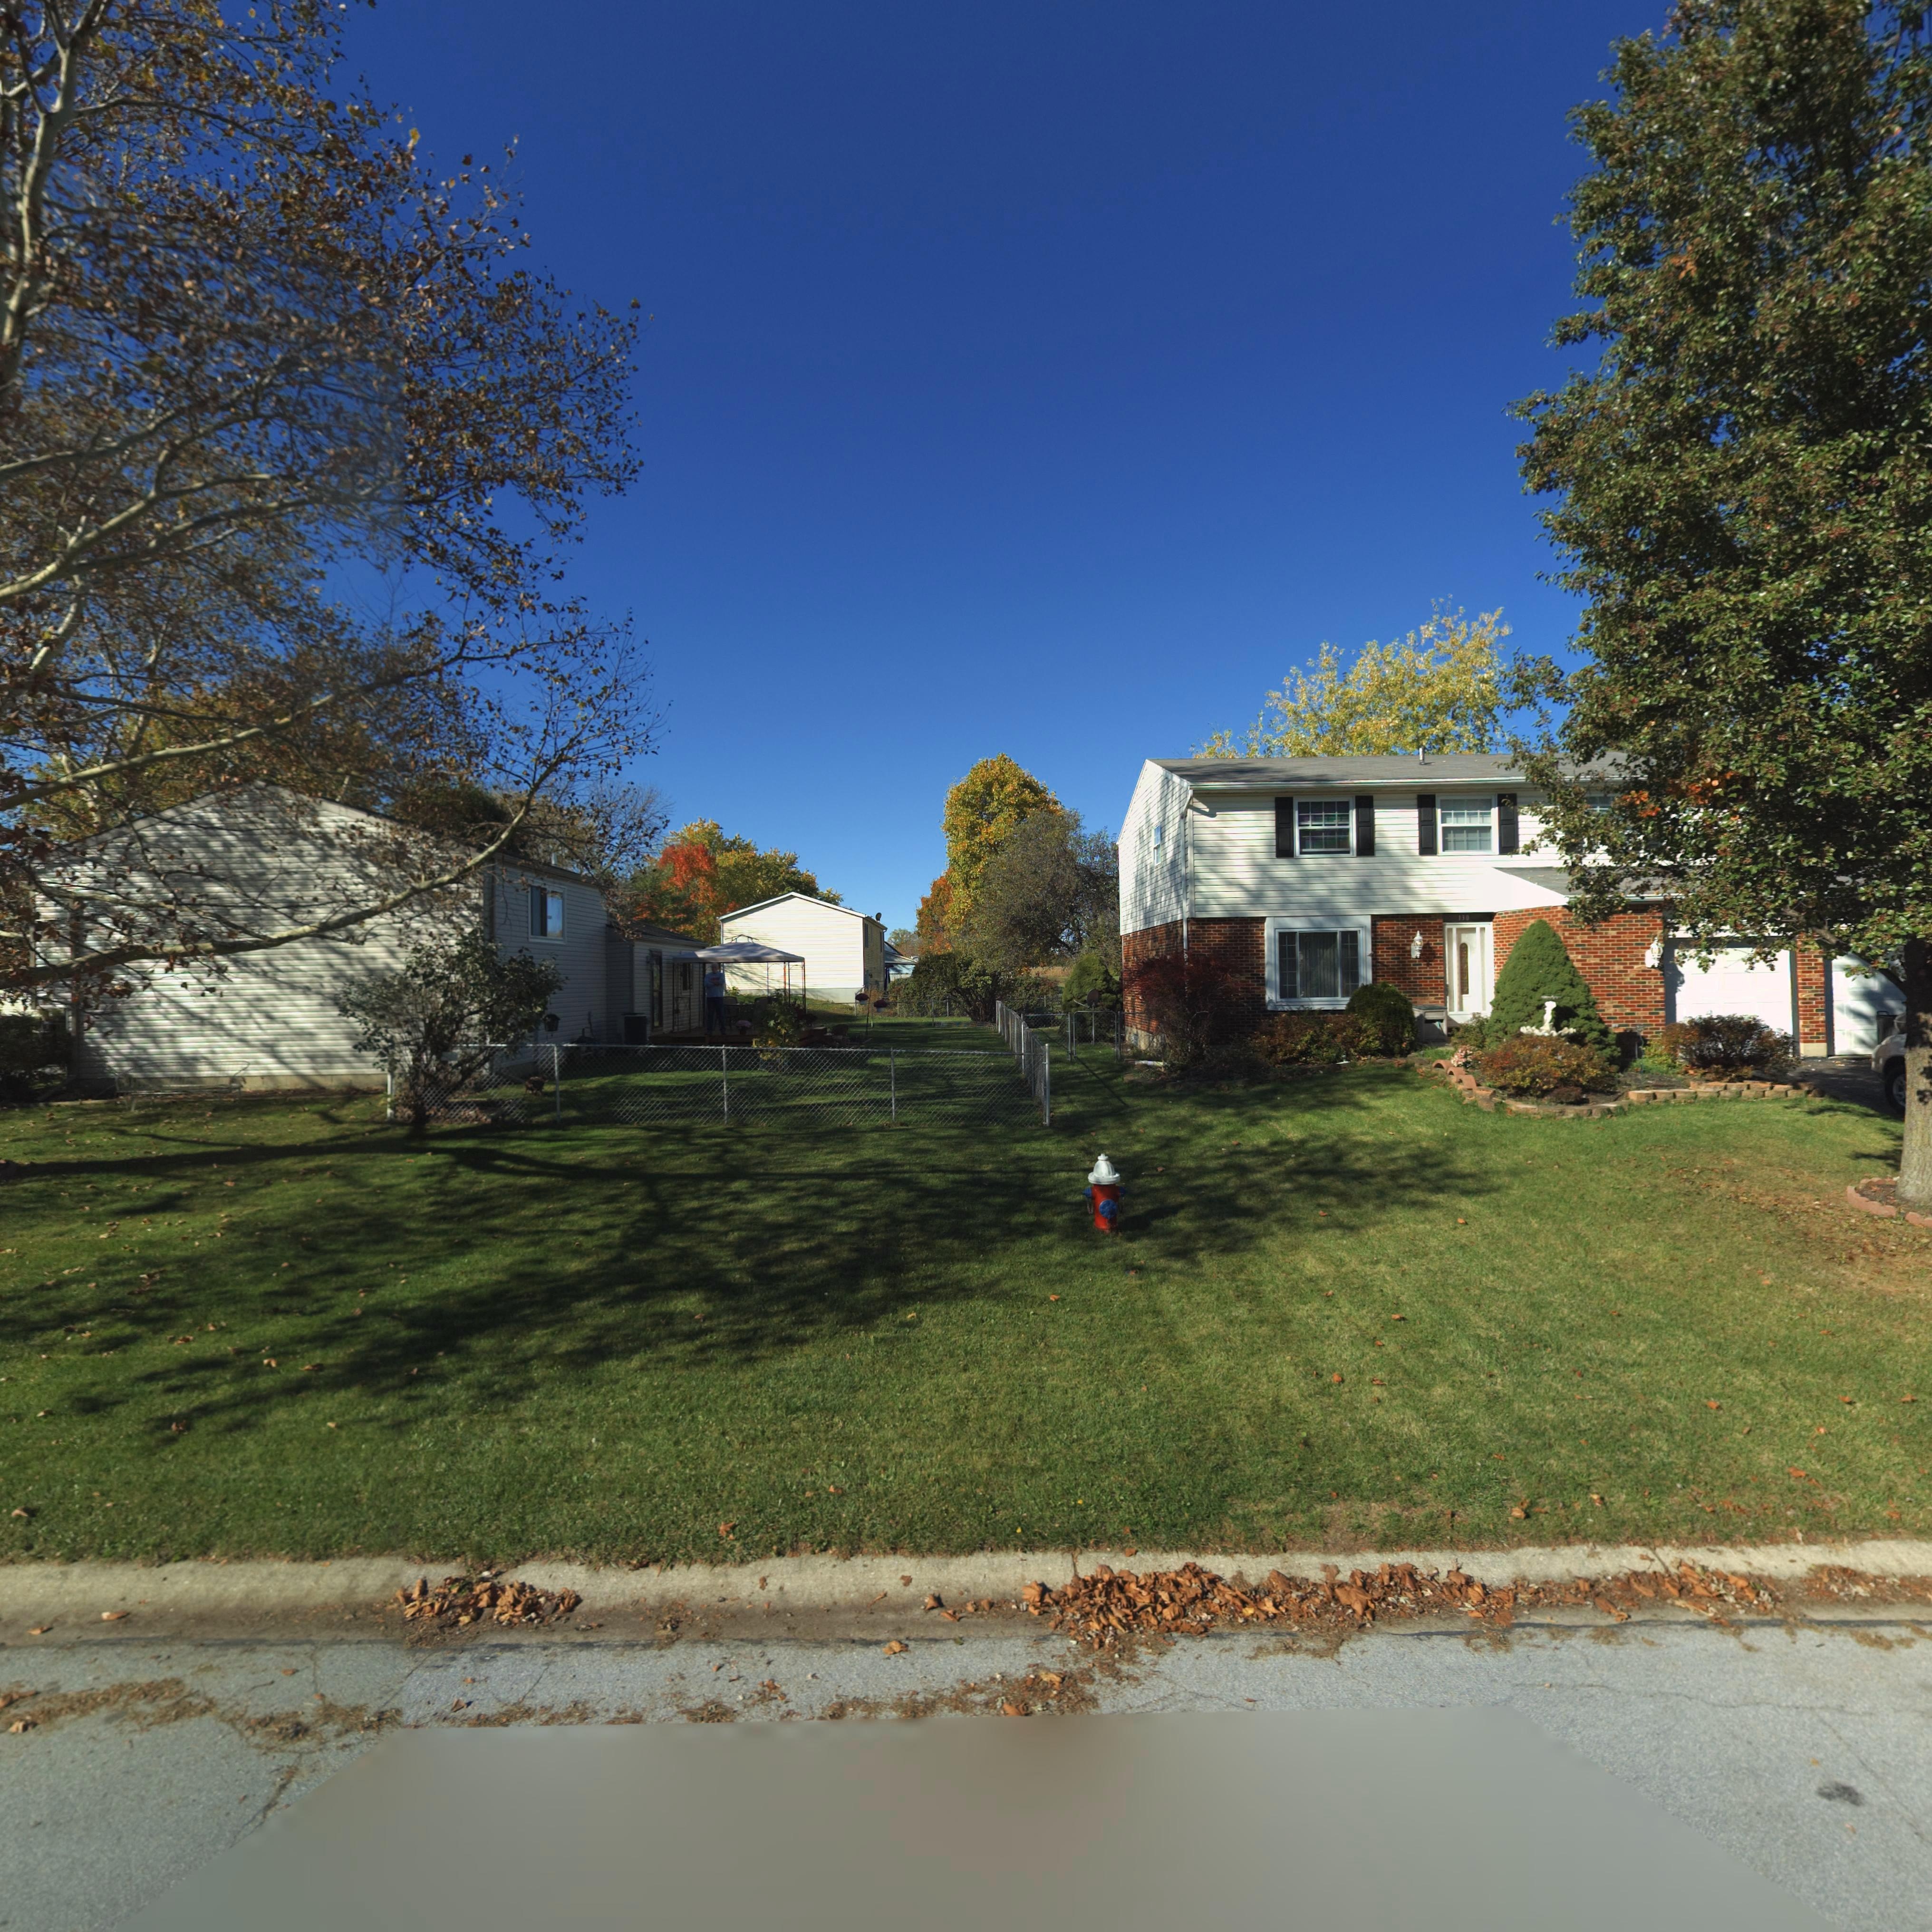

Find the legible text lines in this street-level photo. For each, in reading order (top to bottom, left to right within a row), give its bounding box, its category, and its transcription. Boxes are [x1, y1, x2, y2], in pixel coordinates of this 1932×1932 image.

[1458, 914, 1470, 921] StreetNumber: 130